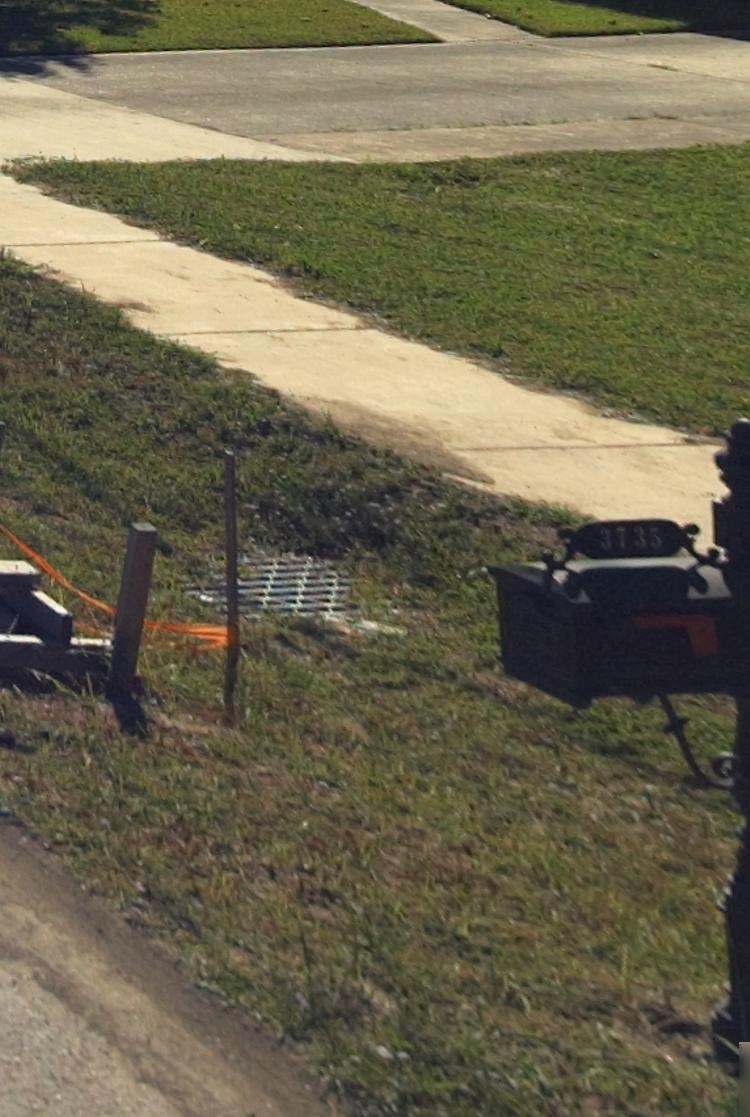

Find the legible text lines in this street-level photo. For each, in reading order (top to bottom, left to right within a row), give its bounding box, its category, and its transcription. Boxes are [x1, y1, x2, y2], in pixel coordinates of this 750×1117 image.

[596, 523, 667, 554] StreetNumber: 3735